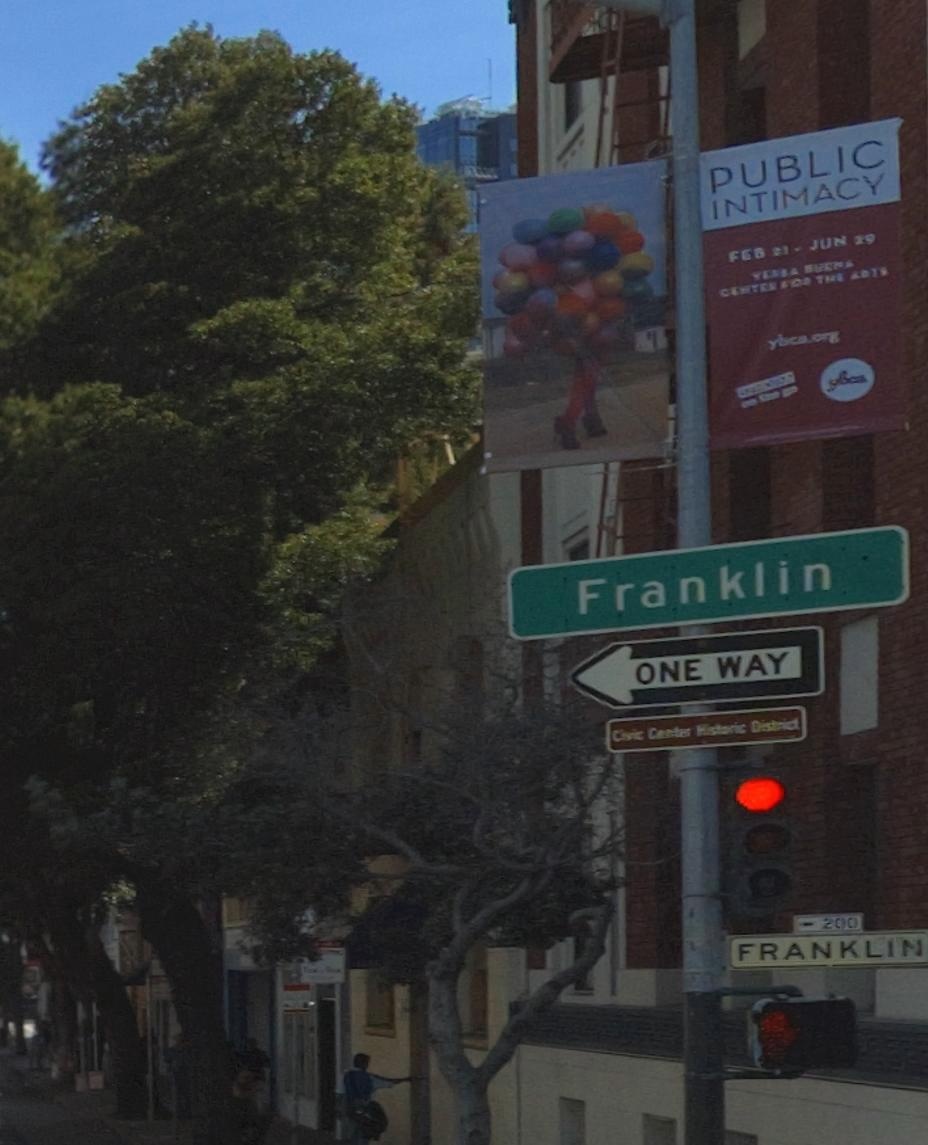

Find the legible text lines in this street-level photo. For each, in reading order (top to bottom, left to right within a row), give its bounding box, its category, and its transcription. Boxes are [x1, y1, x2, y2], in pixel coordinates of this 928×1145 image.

[708, 135, 890, 197] None: PUBLIC
[711, 170, 889, 224] None: INTIMACY
[726, 229, 878, 267] None: FEB 21 JUN 29
[717, 263, 891, 303] None: CENTER FOR THE ARTS
[643, 325, 663, 354] None: 4
[765, 326, 843, 352] None: ybca.org
[574, 549, 832, 627] StreetName: Franklin
[631, 644, 792, 693] None: ONE WAY
[606, 709, 801, 748] None: Civic Center Historic District
[795, 914, 860, 933] StreetNumberRange: <-200
[735, 933, 928, 967] StreetName: FRANKLIN